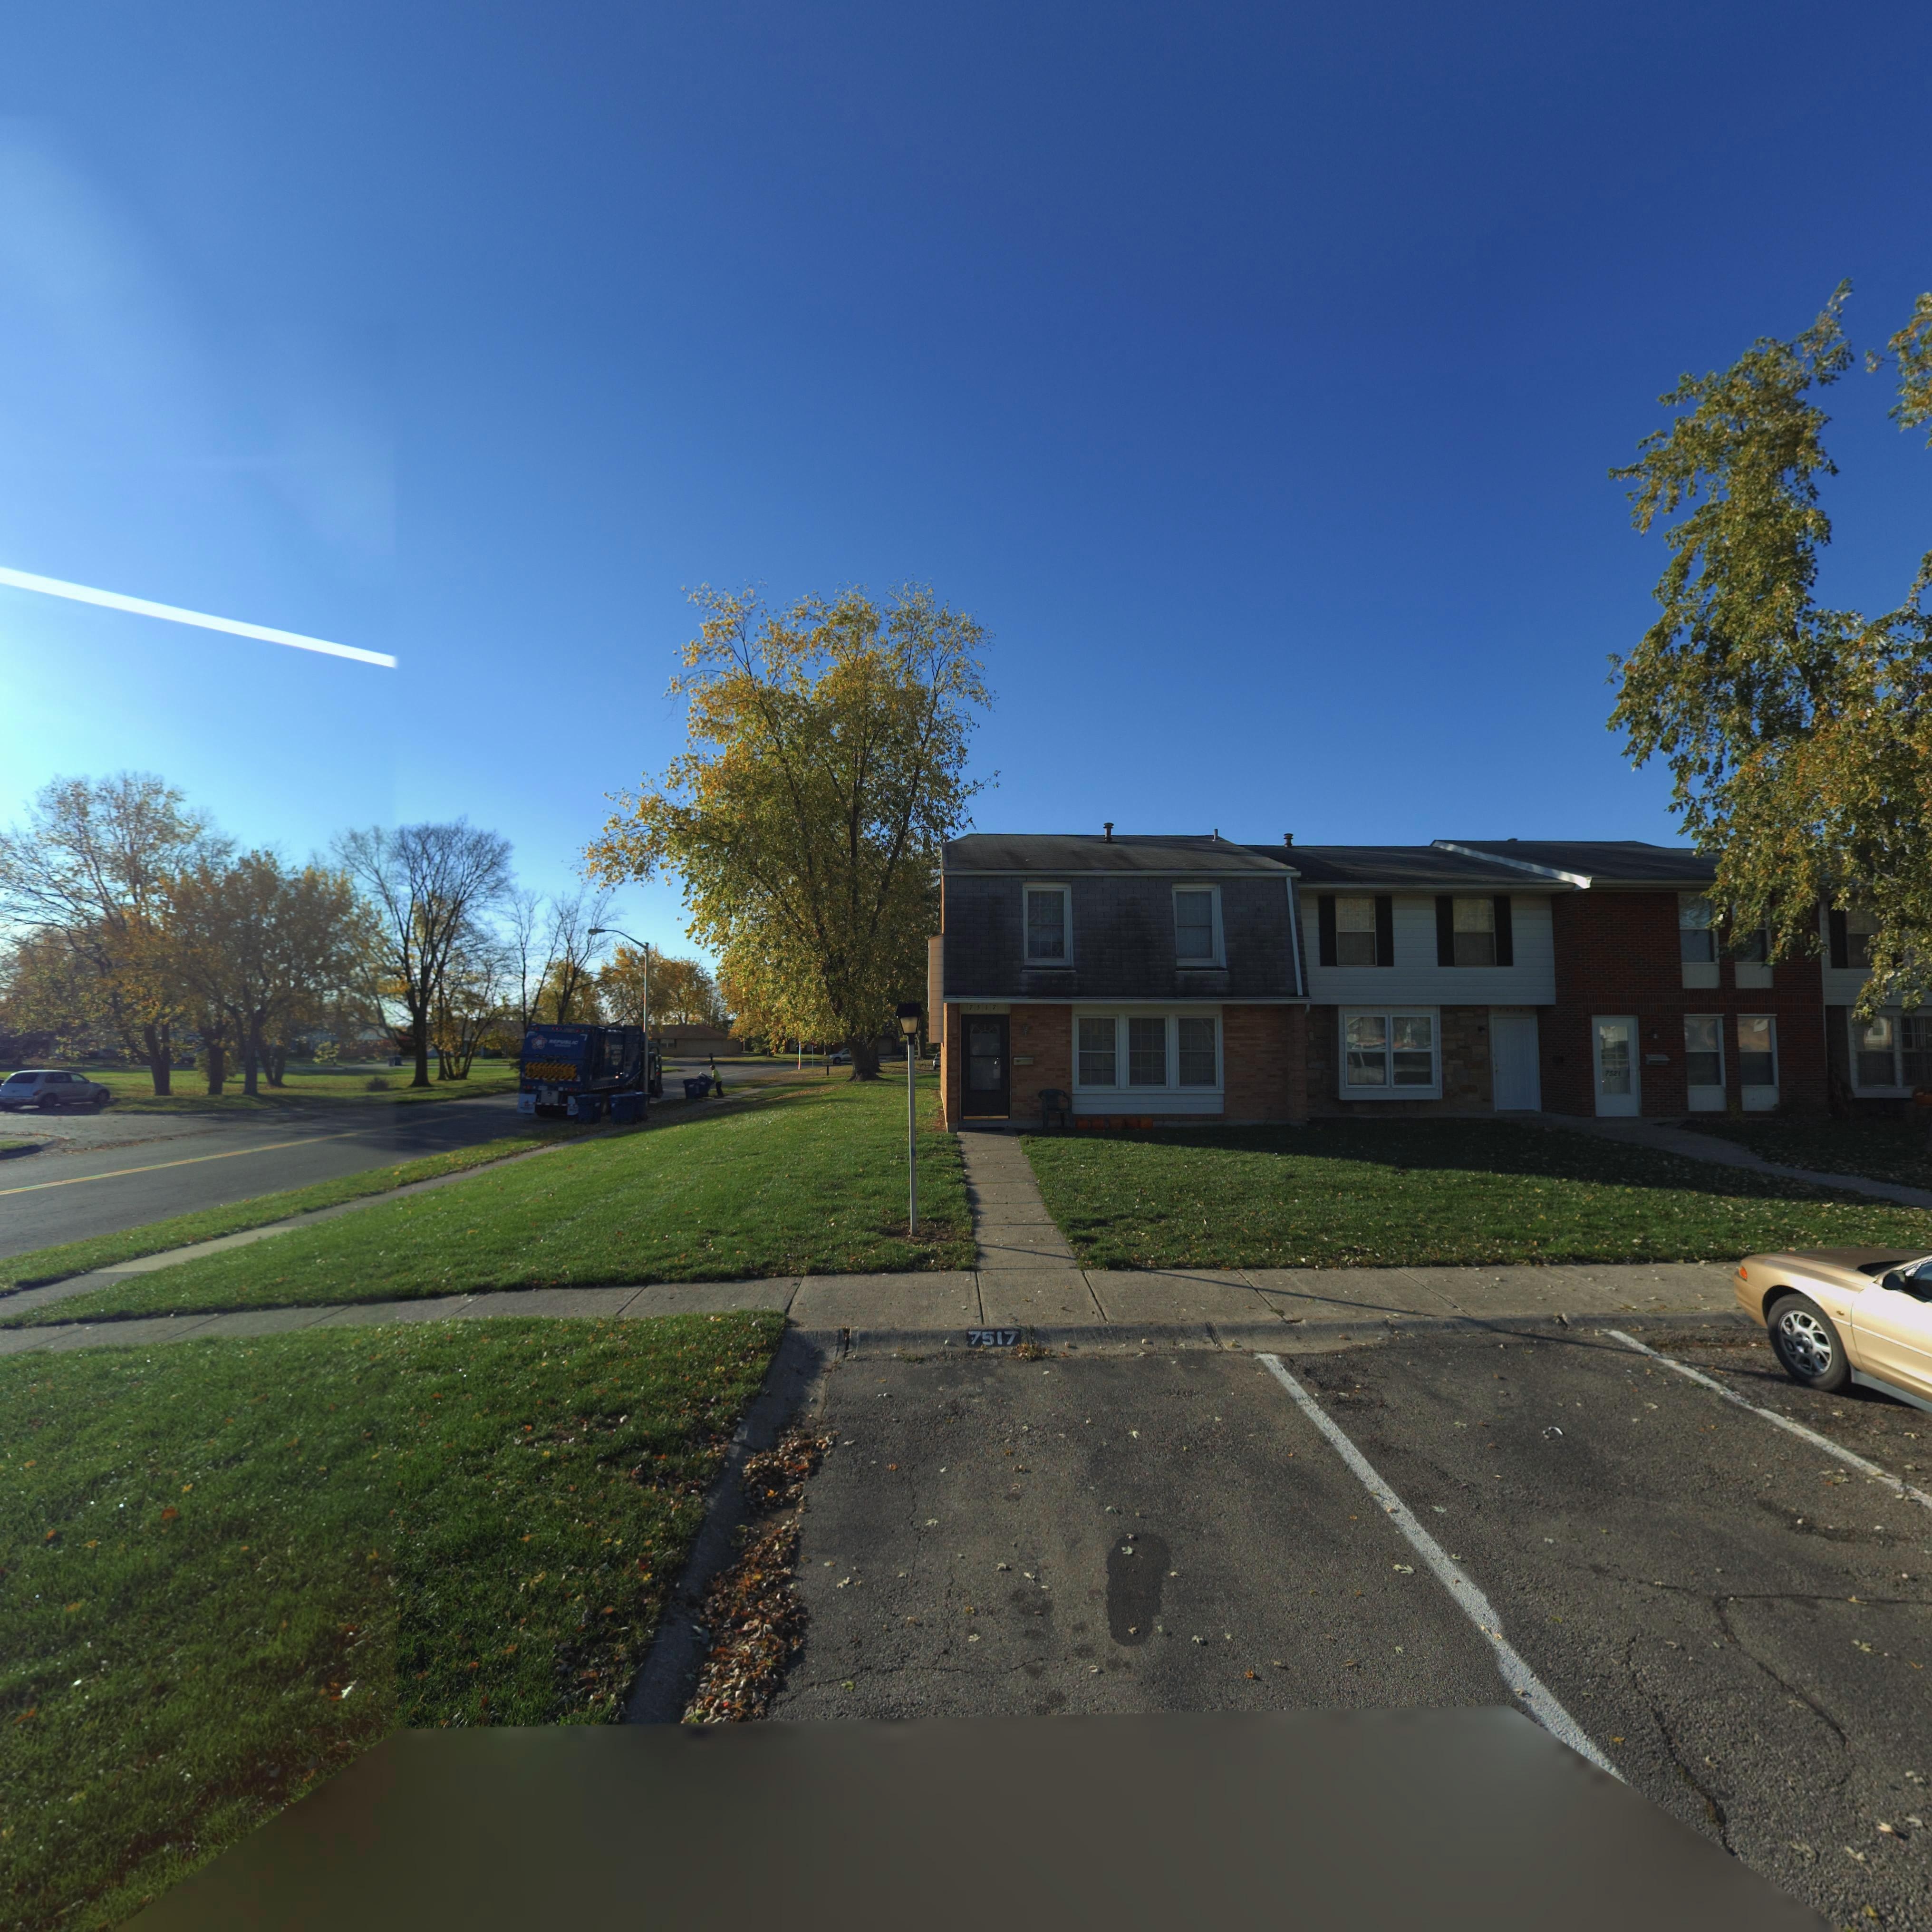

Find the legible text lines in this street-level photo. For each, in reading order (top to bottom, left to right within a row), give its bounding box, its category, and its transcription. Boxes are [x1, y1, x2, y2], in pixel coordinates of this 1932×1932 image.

[969, 1004, 997, 1010] StreetNumber: 7517
[1497, 1006, 1524, 1013] StreetNumber: 7519
[1604, 1070, 1621, 1077] StreetNumber: 7521
[967, 1330, 1020, 1346] StreetNumber: 7517